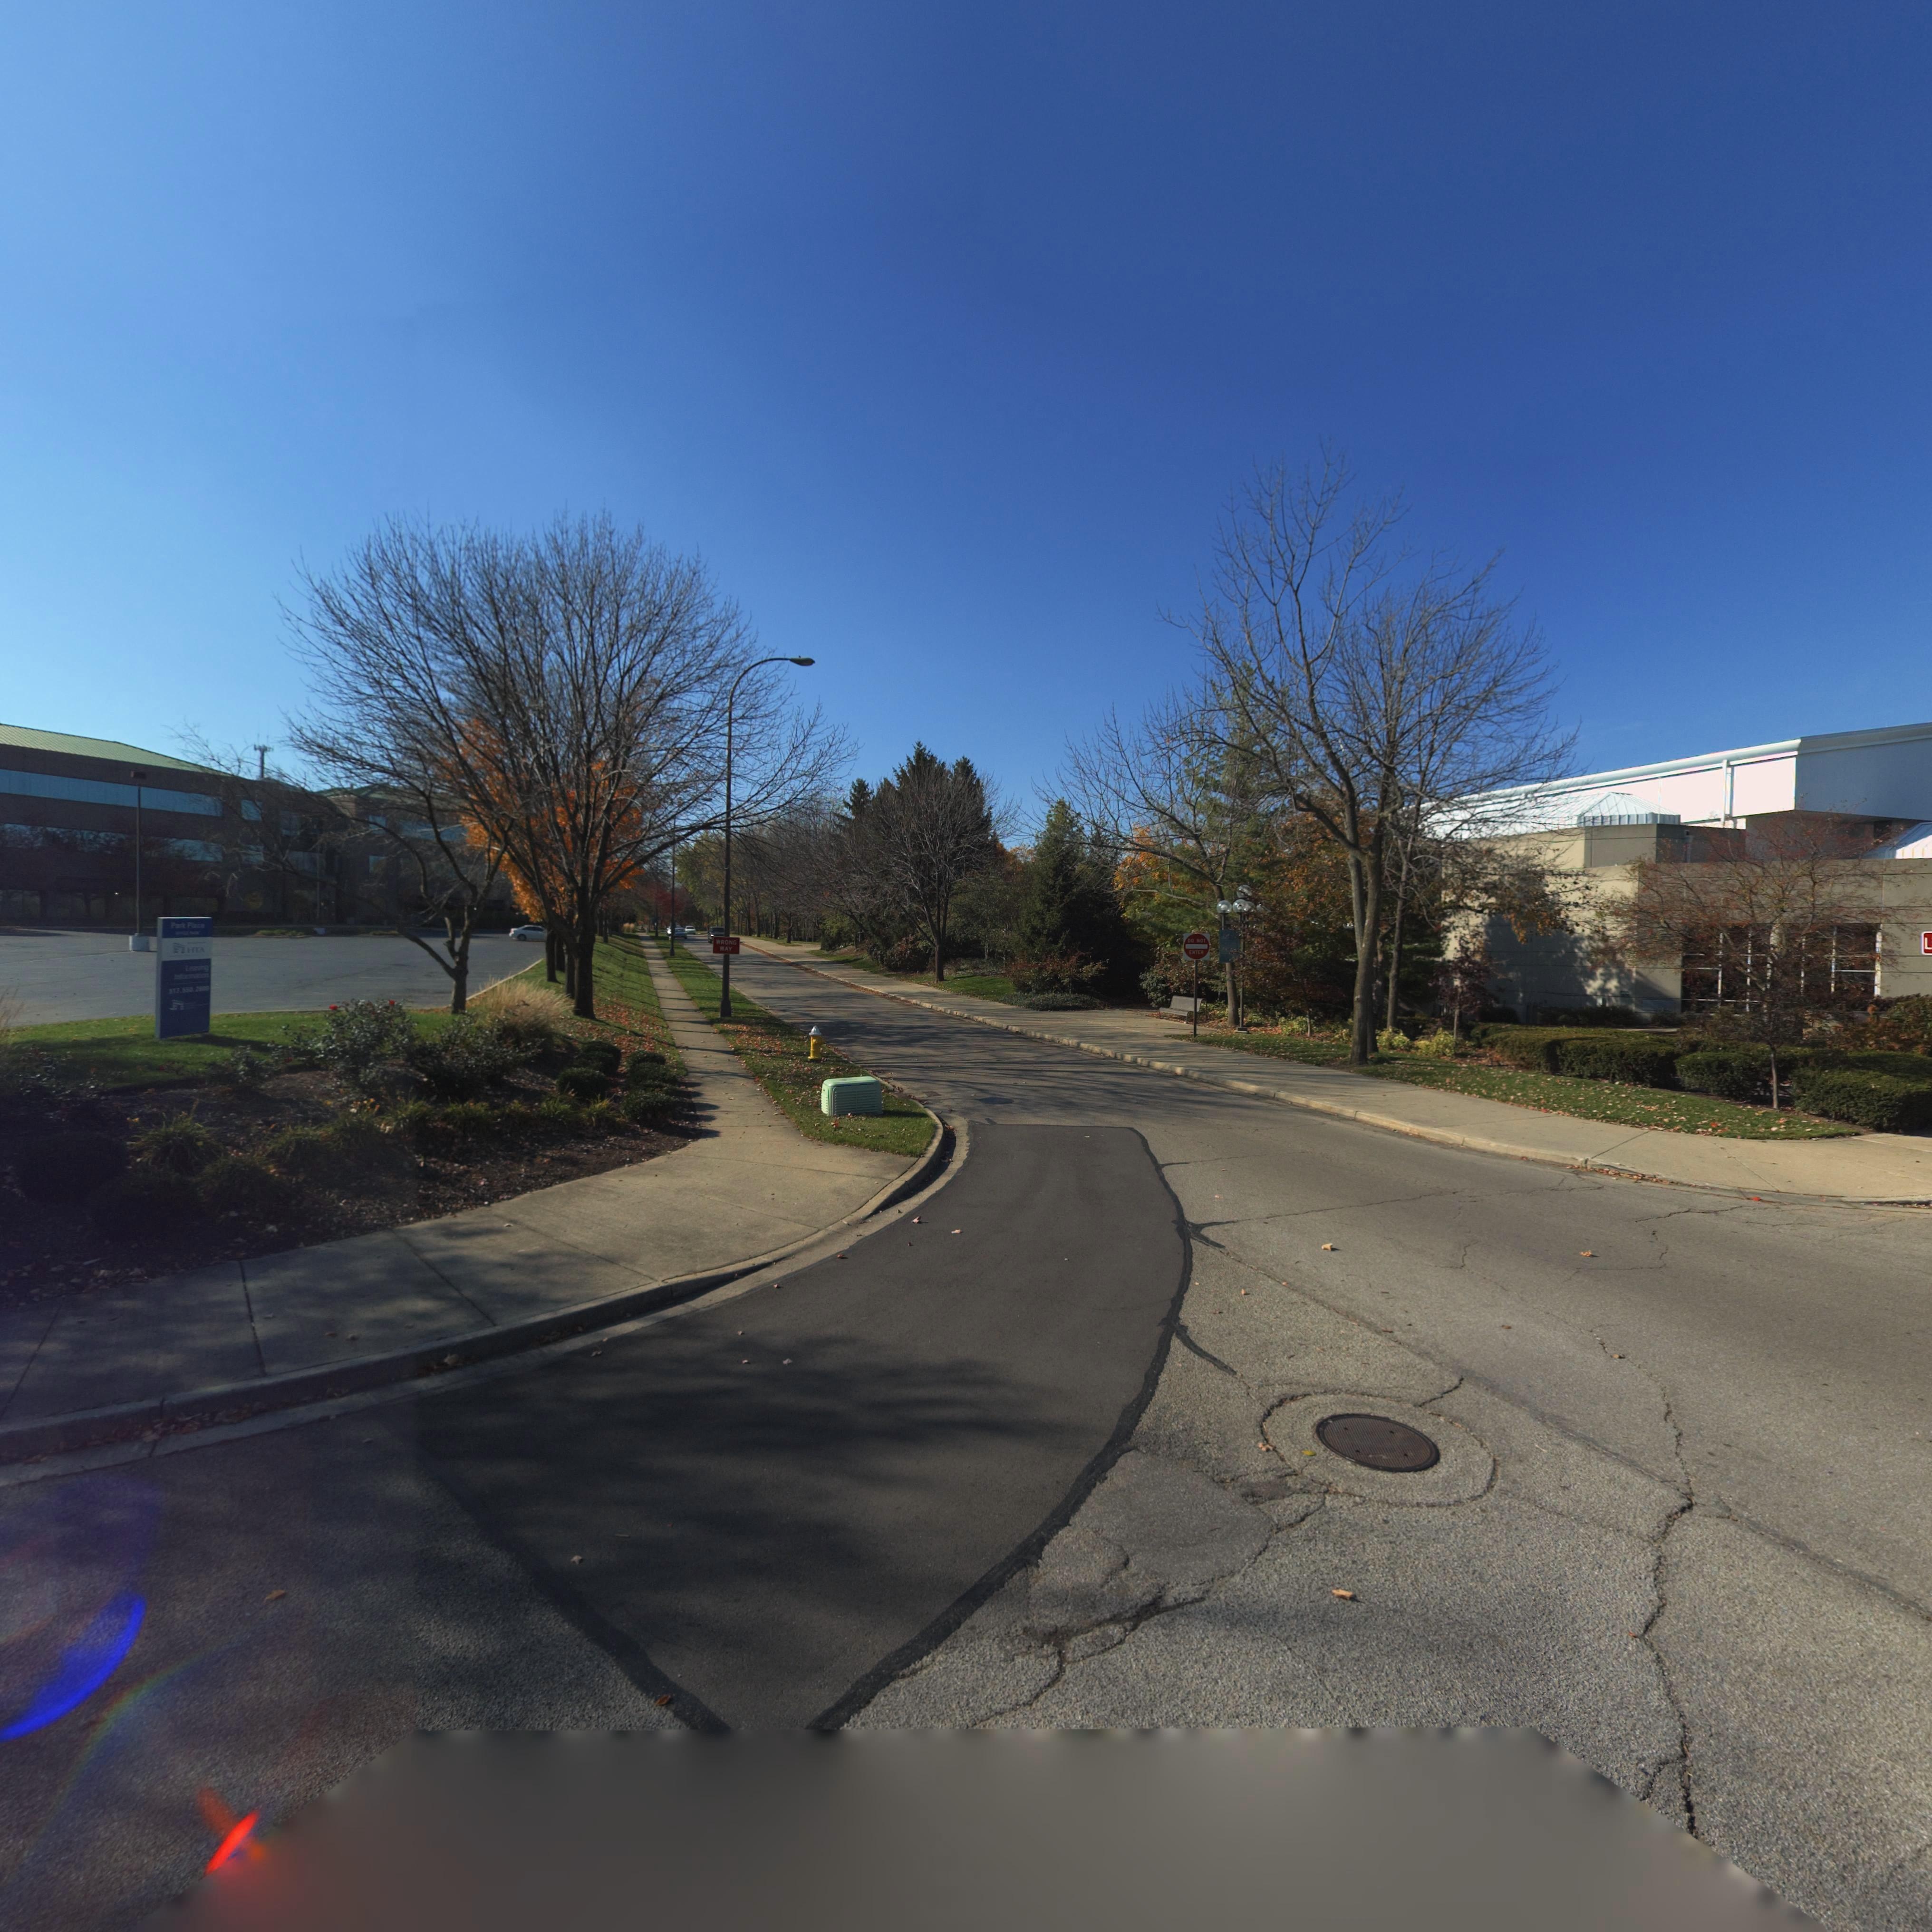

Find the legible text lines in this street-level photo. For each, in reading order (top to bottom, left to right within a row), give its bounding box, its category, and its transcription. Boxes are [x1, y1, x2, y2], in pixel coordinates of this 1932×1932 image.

[170, 921, 204, 928] None: Park Place
[715, 939, 737, 945] None: WRONG
[1188, 938, 1206, 943] None: DO NOT
[719, 946, 733, 952] None: WAY
[1188, 949, 1204, 955] None: ENTER
[167, 987, 209, 994] None: 312.850.2800